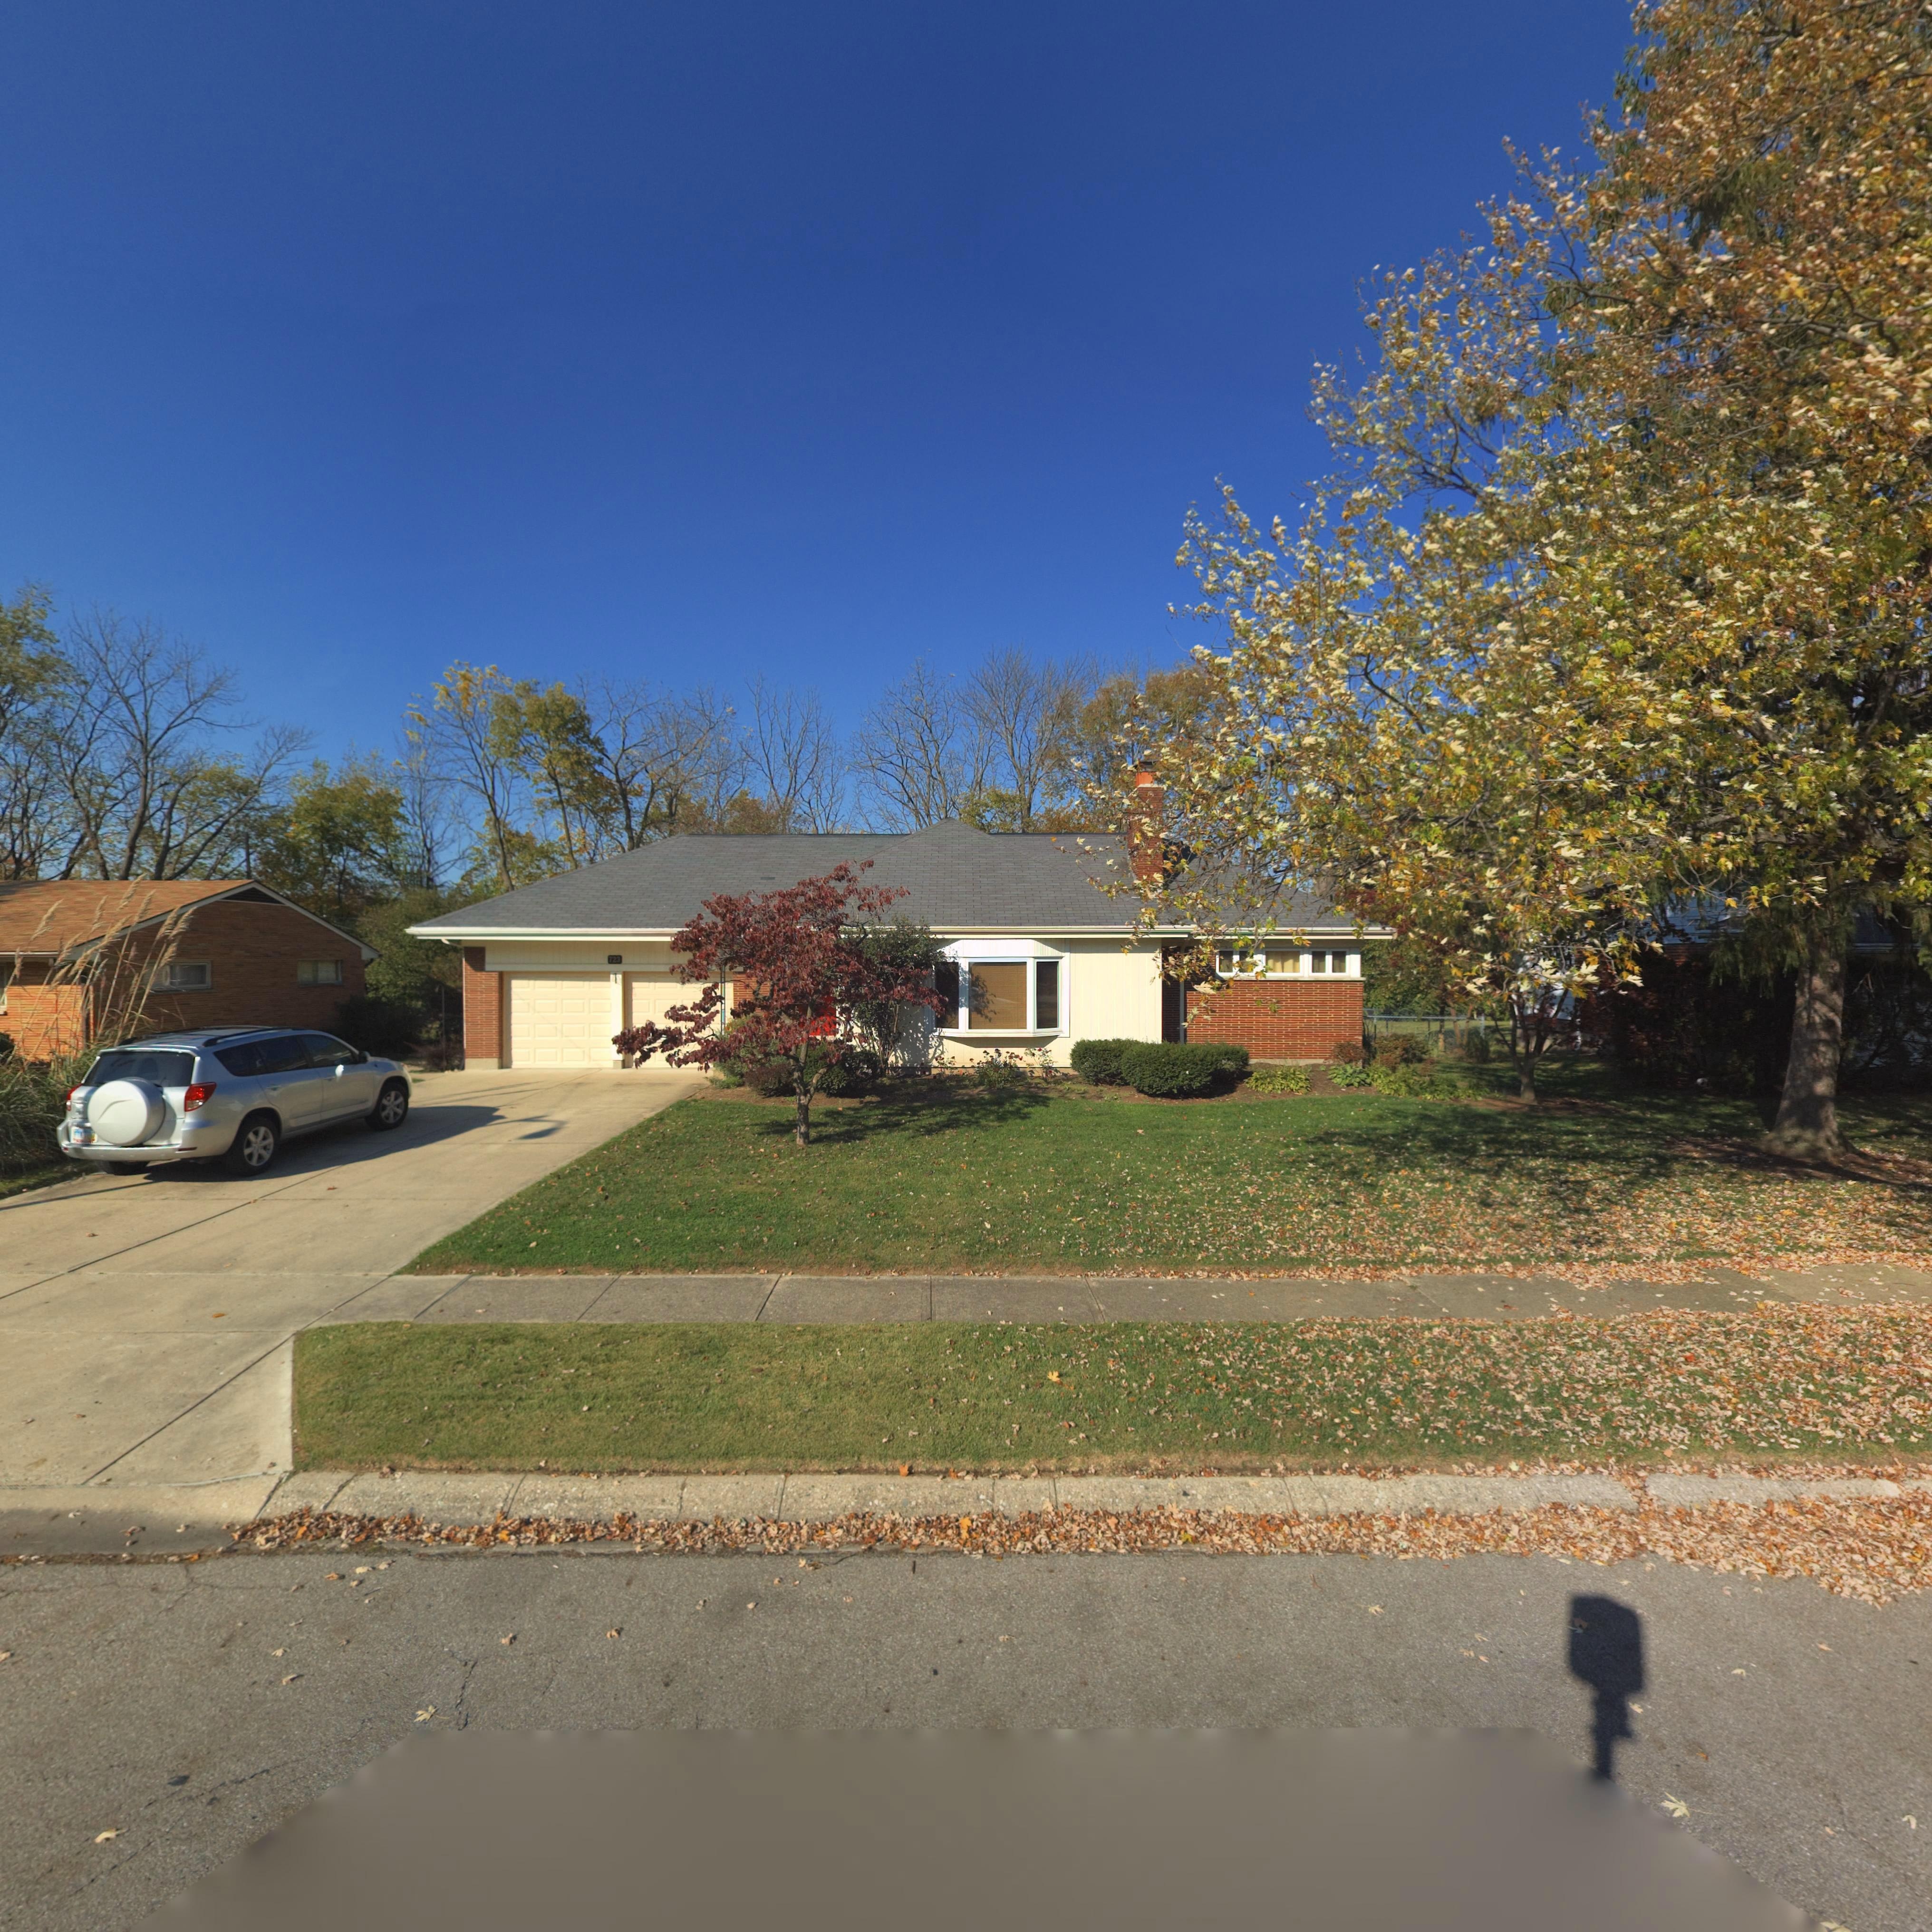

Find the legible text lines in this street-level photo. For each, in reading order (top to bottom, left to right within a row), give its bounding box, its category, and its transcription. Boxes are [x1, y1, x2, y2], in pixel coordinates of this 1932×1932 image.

[608, 955, 621, 964] StreetNumber: 723